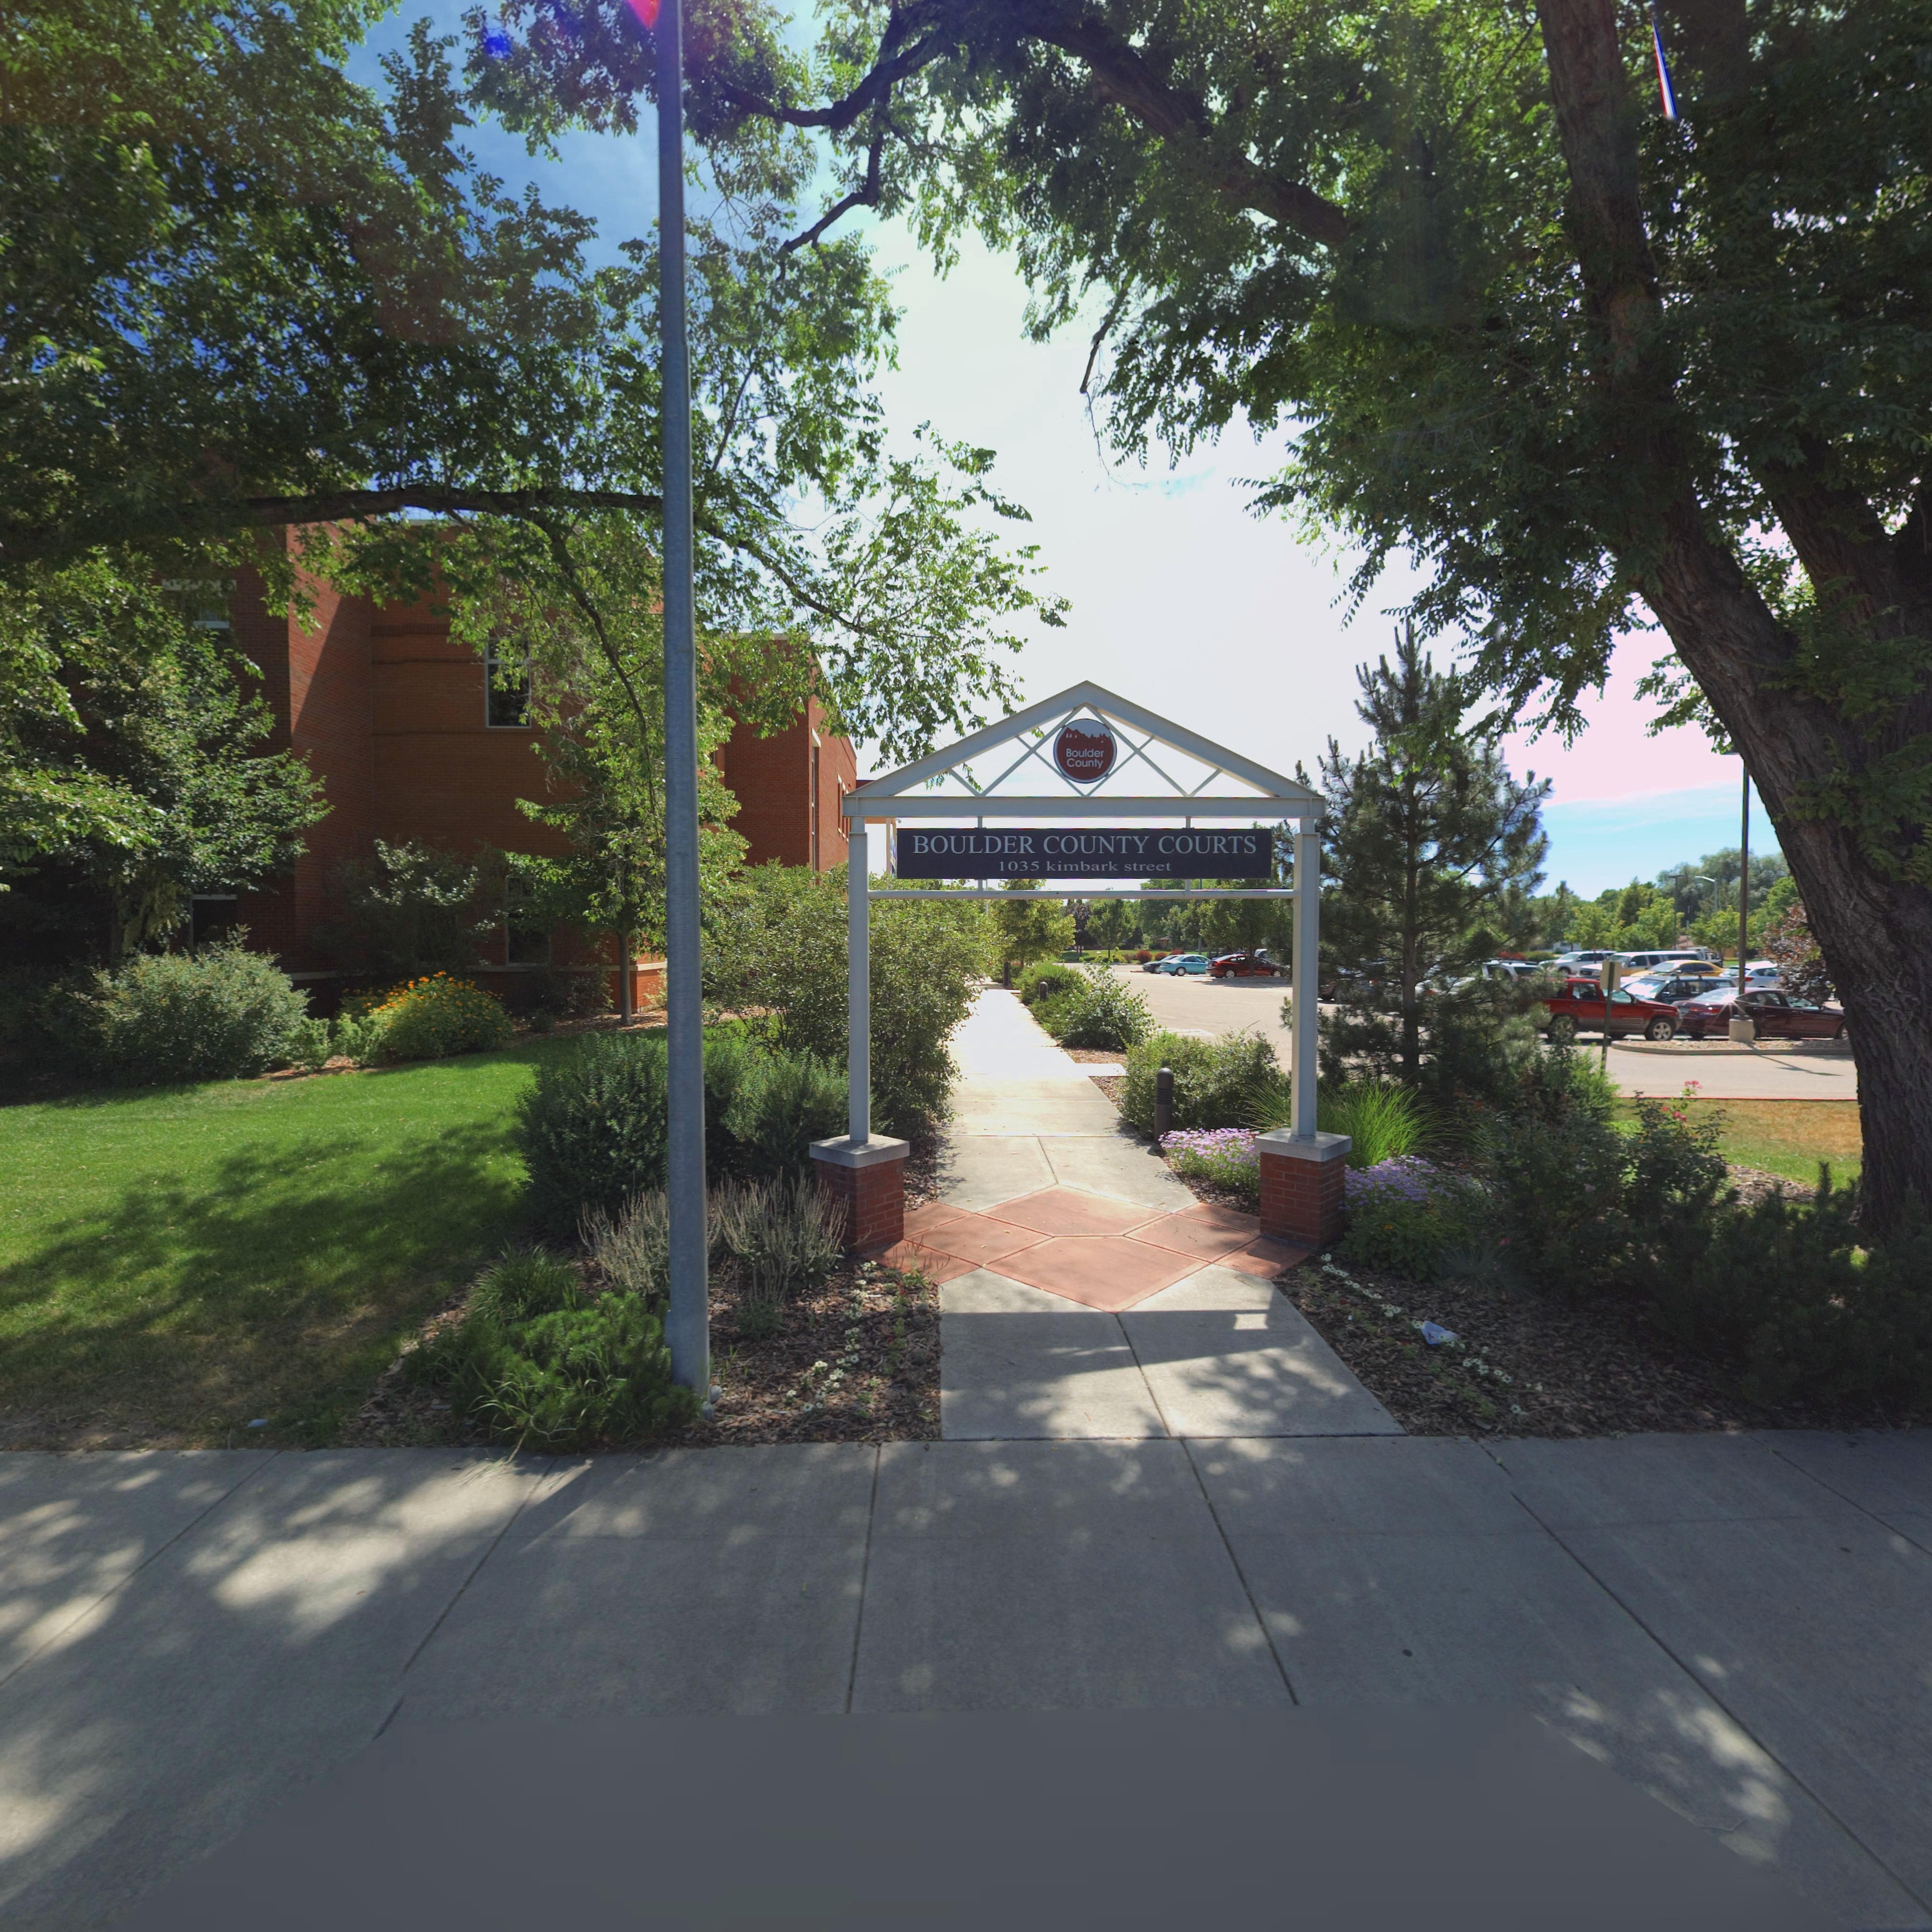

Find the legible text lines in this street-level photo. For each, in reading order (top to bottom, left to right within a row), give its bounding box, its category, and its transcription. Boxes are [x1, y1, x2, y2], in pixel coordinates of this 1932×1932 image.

[999, 860, 1040, 871] StreetNumber: 1035
[1045, 860, 1172, 871] StreetName: kimbark street